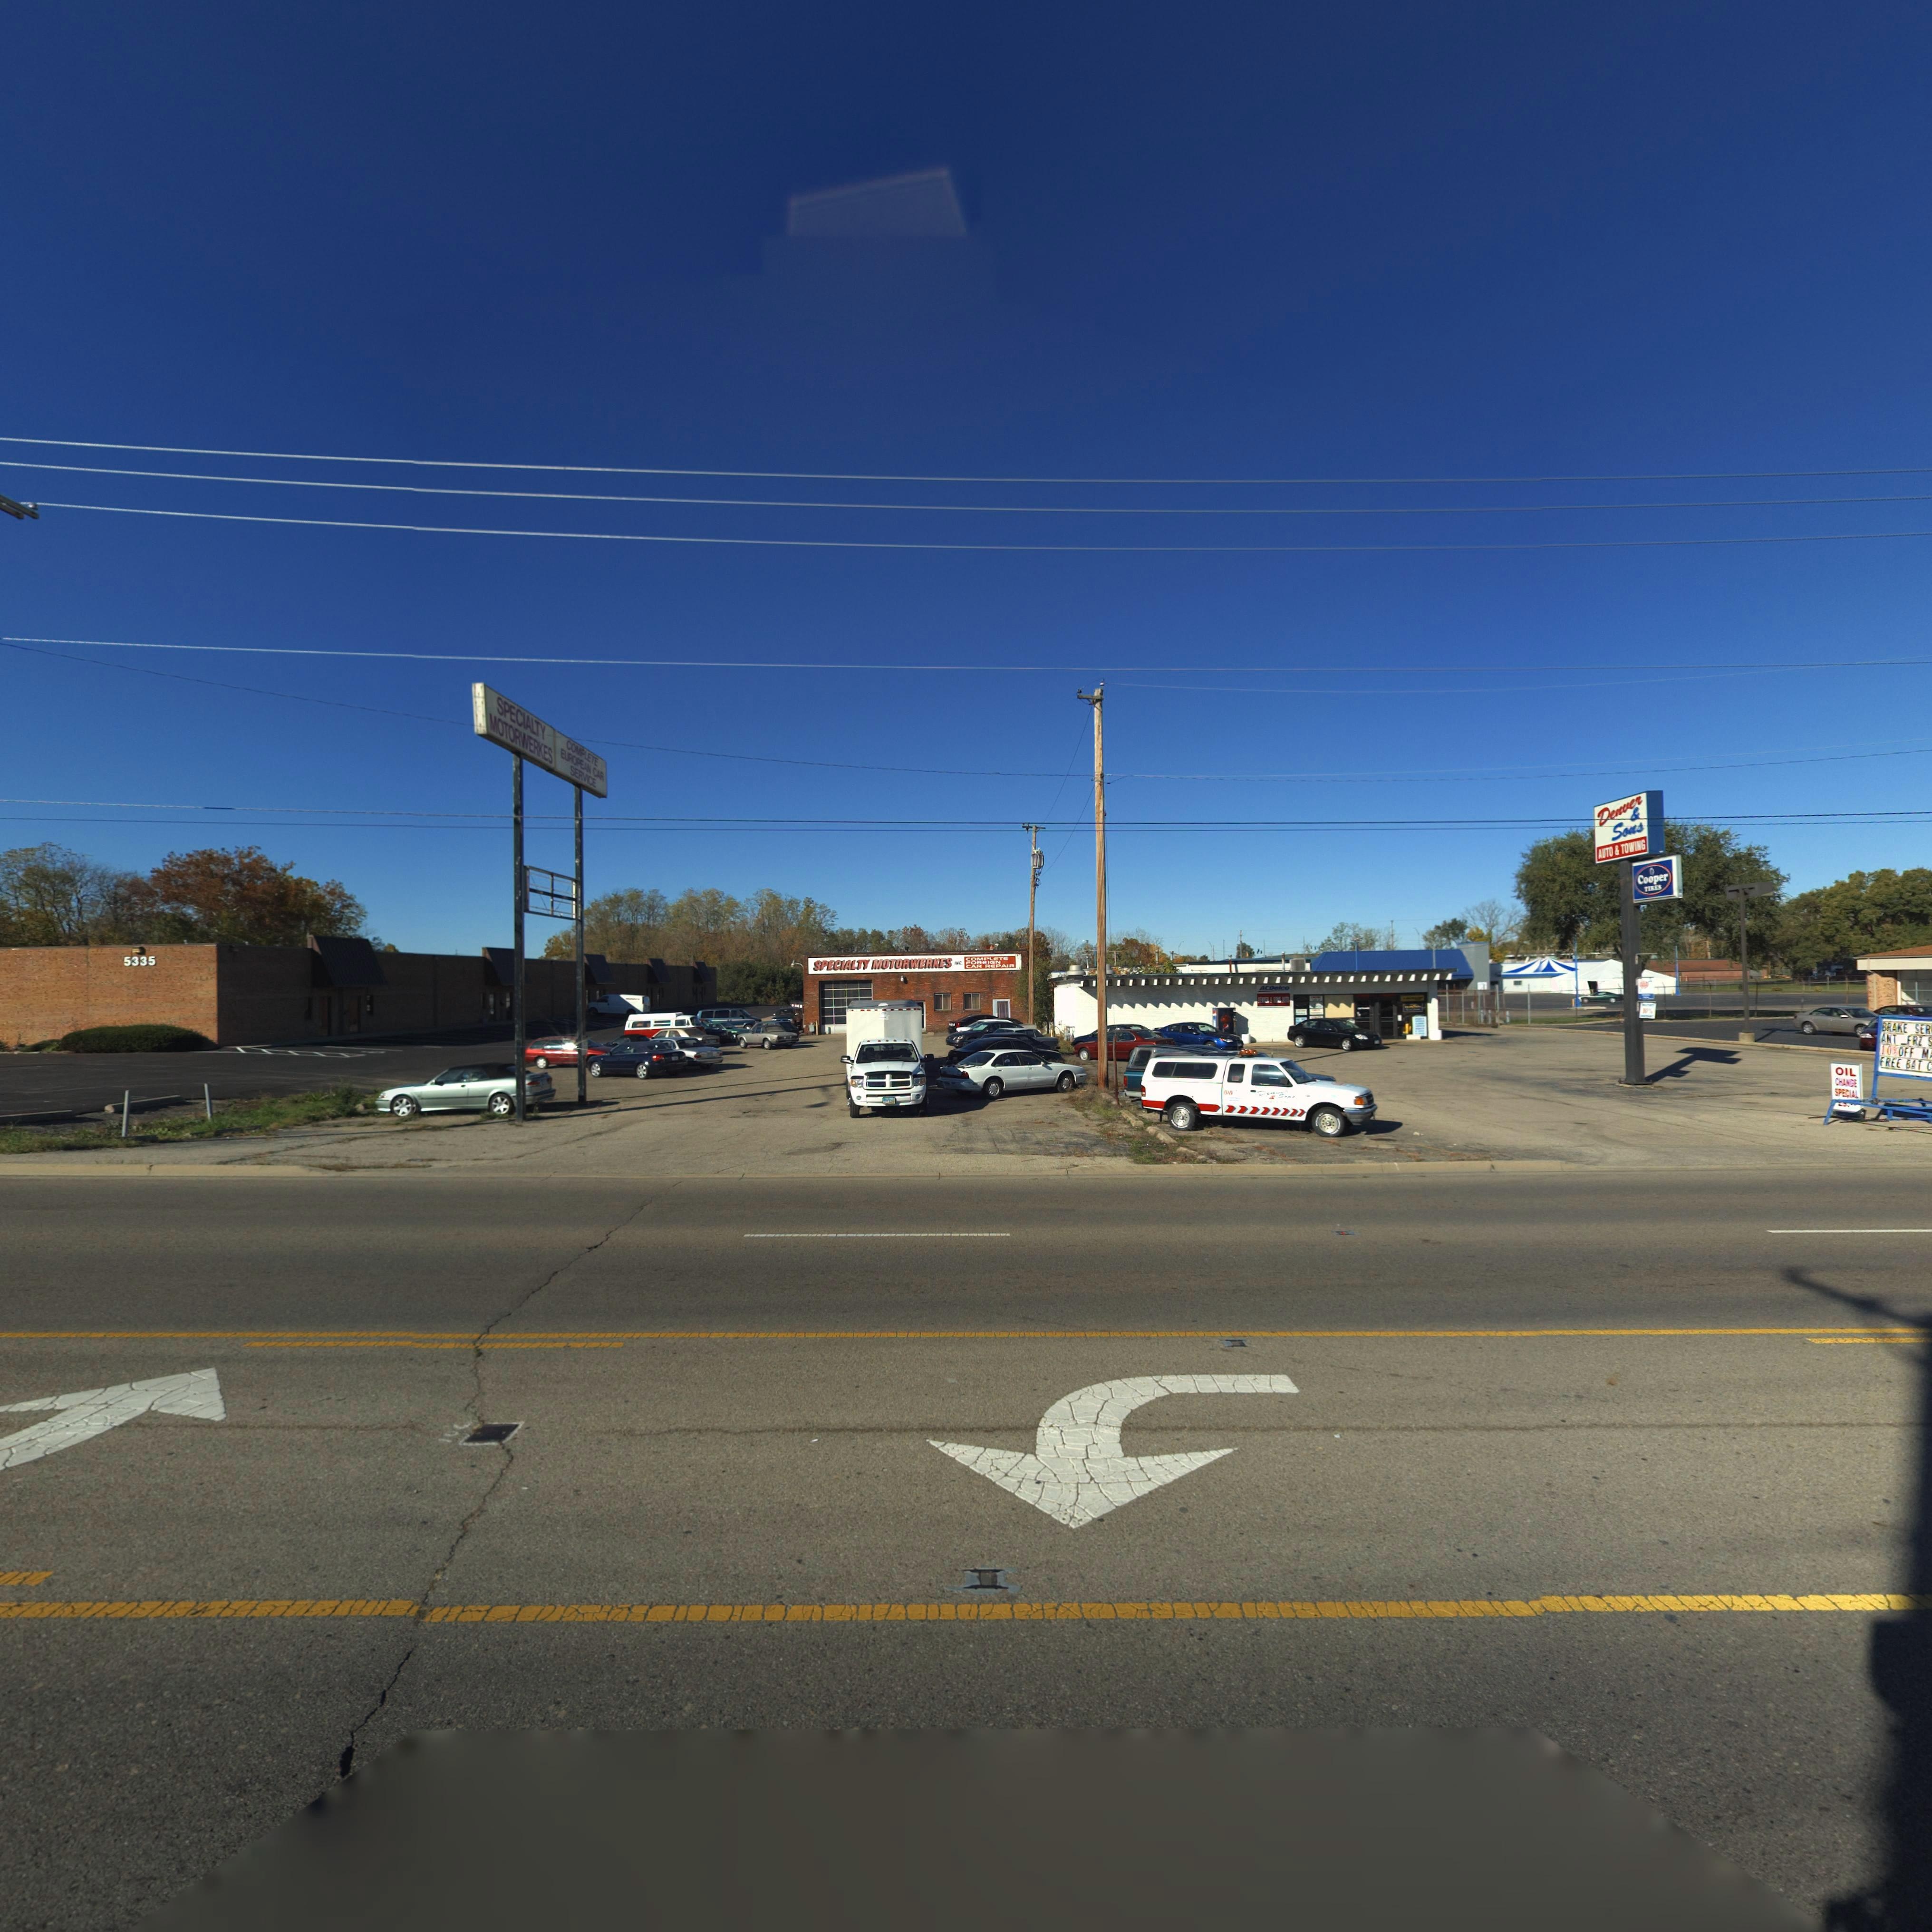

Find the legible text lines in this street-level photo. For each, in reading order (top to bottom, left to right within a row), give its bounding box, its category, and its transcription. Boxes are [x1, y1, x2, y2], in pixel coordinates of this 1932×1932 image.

[123, 956, 157, 966] StreetNumber: 5335